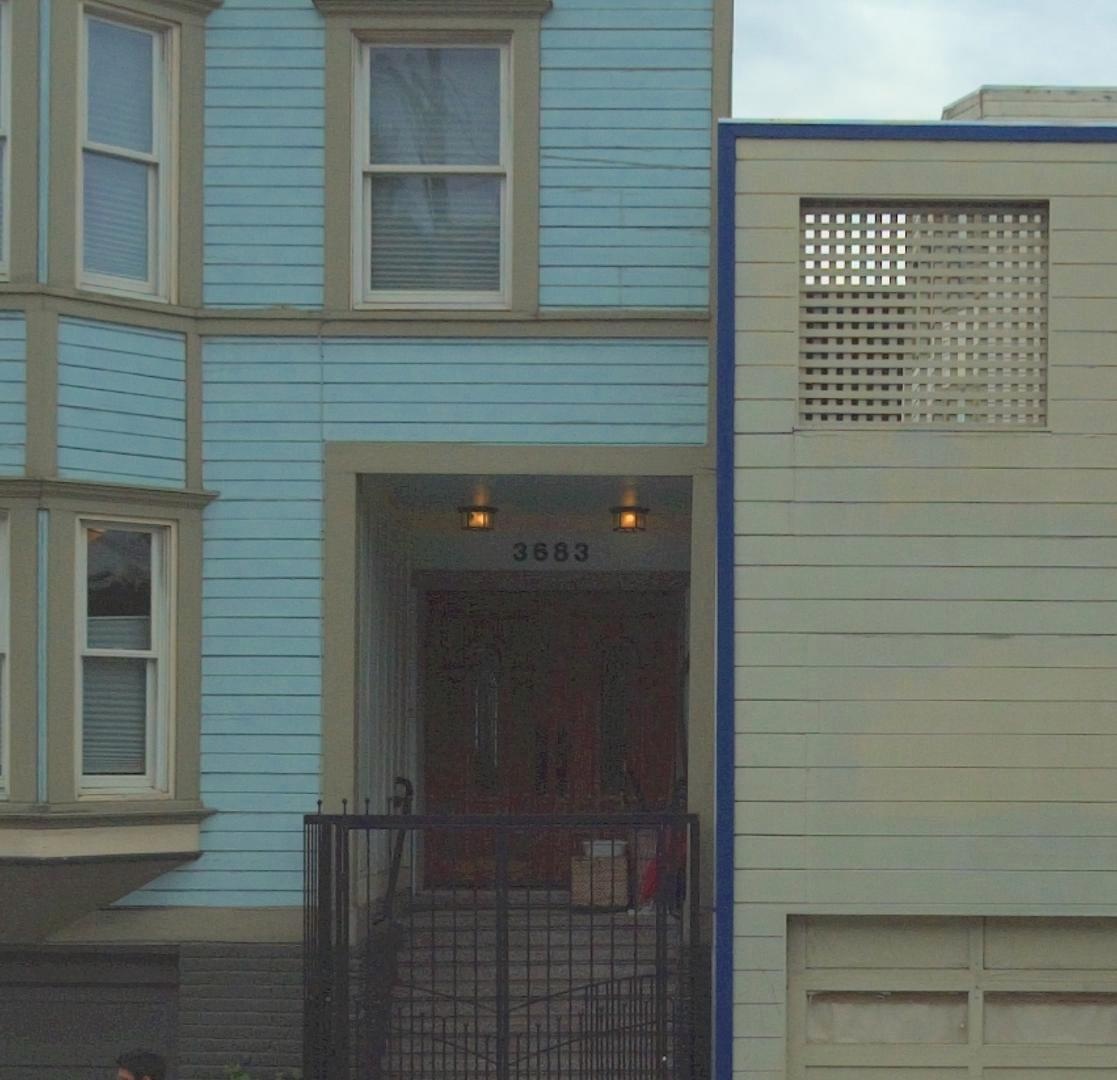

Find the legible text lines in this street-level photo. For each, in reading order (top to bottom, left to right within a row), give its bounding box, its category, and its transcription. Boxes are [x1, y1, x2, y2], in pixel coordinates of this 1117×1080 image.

[512, 542, 590, 563] StreetNumber: 3683